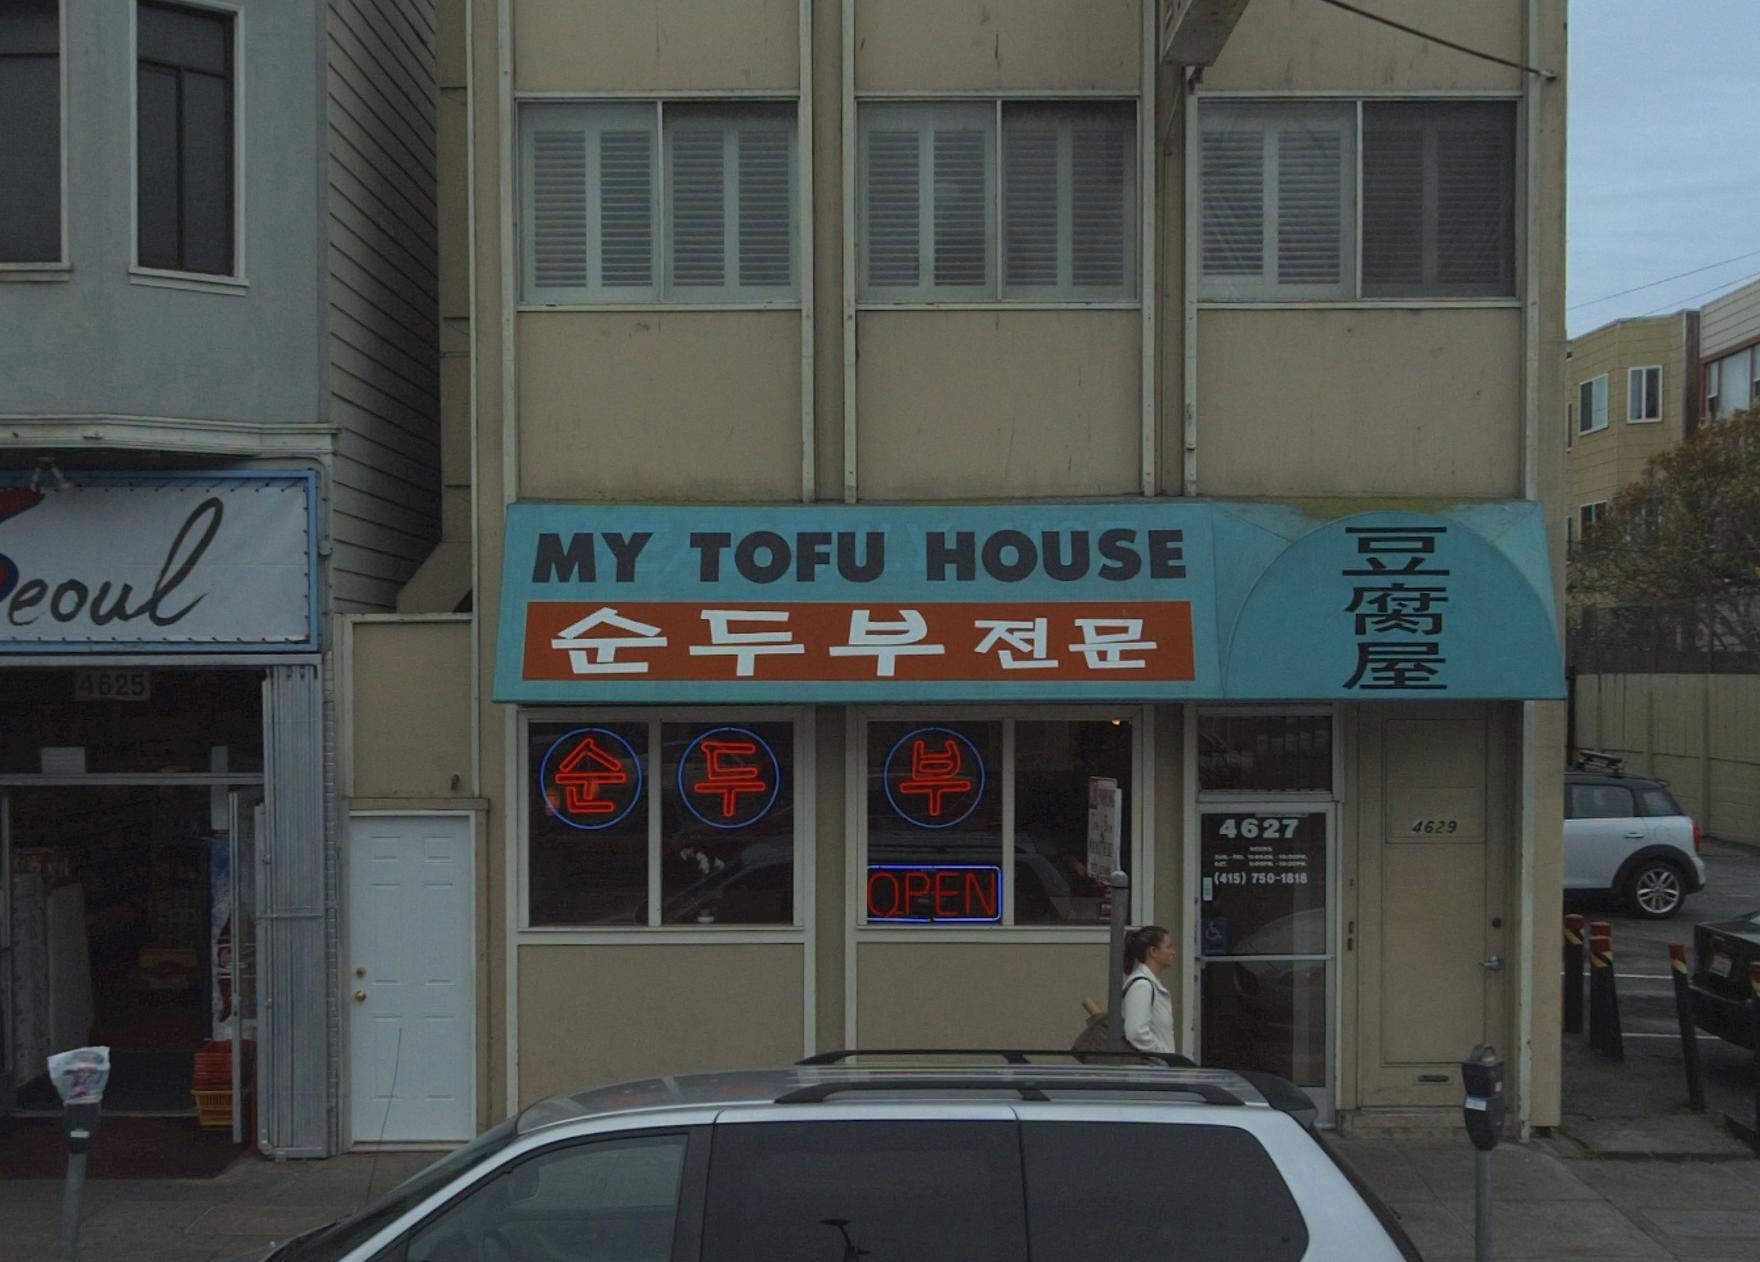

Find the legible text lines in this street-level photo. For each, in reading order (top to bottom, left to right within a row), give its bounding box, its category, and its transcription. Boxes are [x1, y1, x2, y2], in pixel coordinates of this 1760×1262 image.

[2, 492, 229, 630] BusinessName: eoul
[526, 526, 1191, 586] BusinessName: MY TOFU HOUSE
[75, 671, 146, 699] StreetNumber: 4625
[1216, 817, 1300, 840] StreetNumber: 4627
[1409, 818, 1461, 836] StreetNumber: 4629
[1216, 871, 1310, 886] None: 415)750-1818
[864, 868, 998, 919] None: OPEN